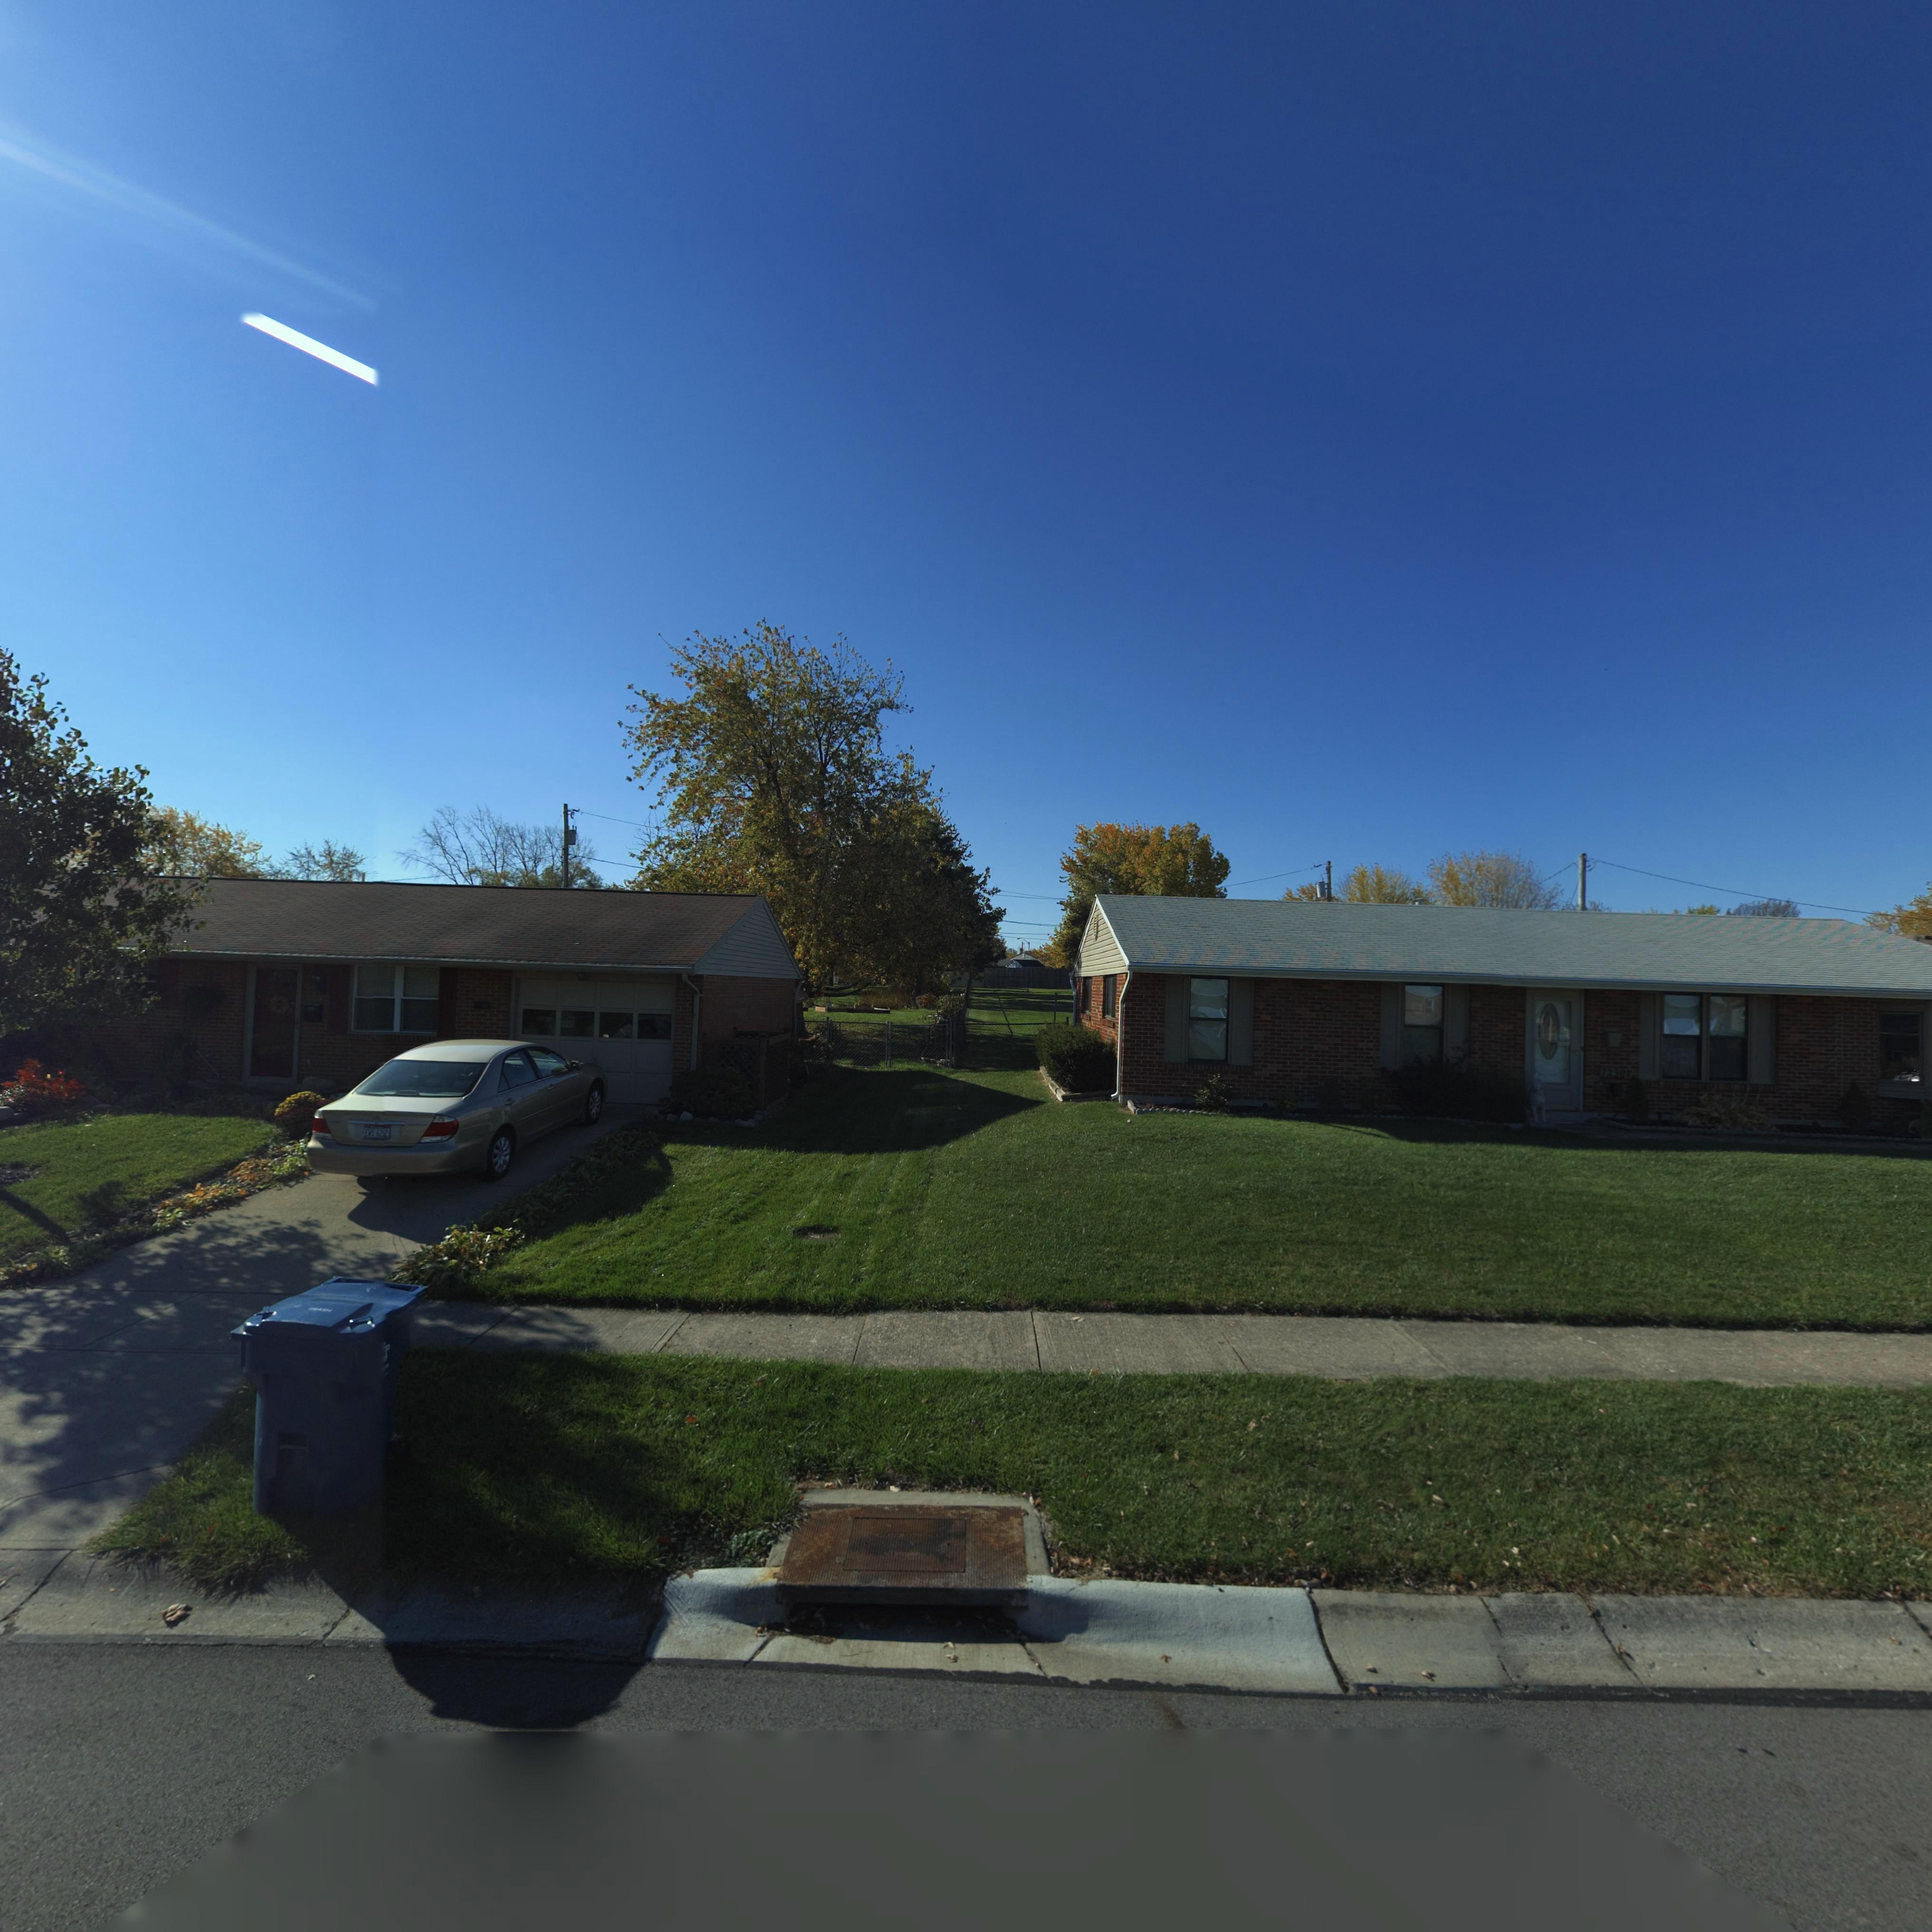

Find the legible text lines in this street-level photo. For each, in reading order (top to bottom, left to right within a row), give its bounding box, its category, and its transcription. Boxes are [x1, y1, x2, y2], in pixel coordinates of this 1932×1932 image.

[1600, 1067, 1627, 1078] StreetNumber: 7230